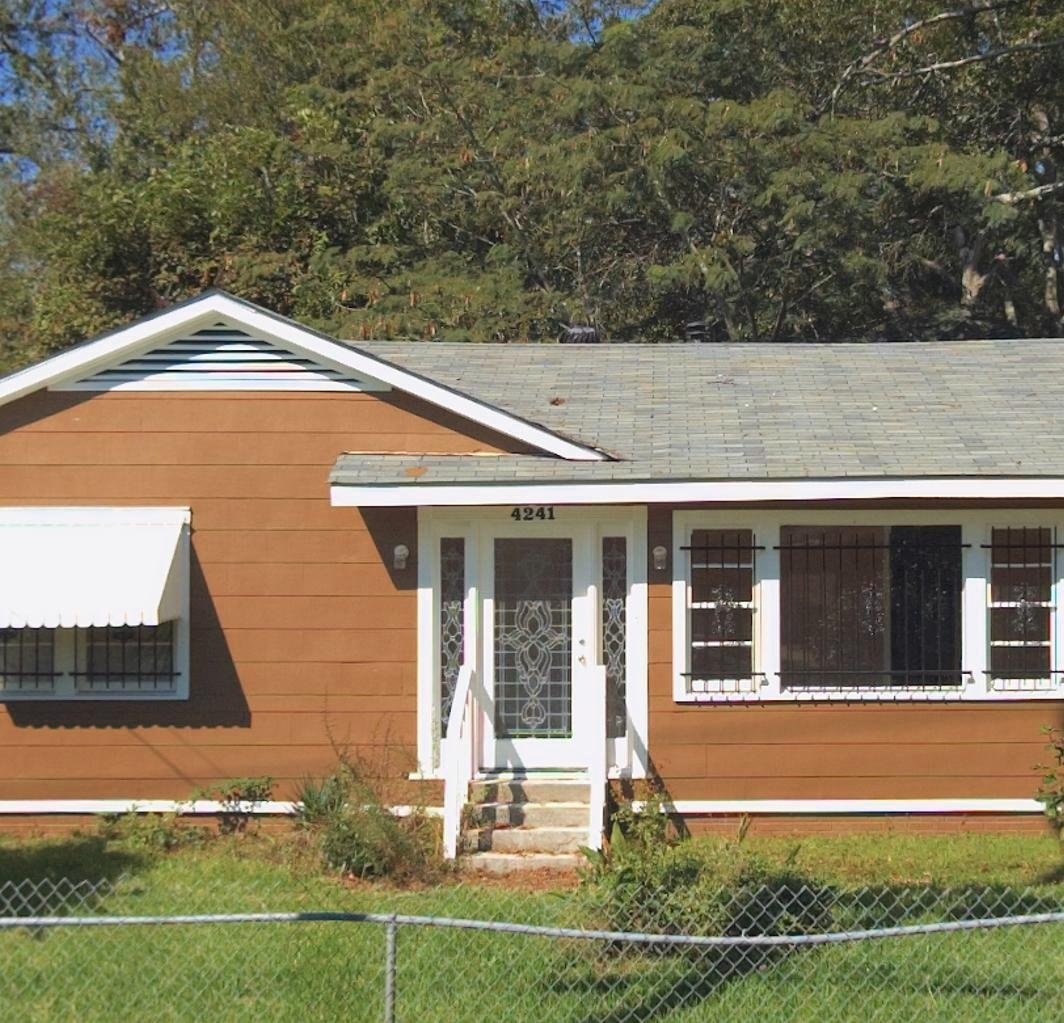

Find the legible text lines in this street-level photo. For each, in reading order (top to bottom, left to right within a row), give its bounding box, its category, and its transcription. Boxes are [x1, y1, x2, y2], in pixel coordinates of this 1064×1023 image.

[509, 505, 557, 522] StreetNumber: 4241